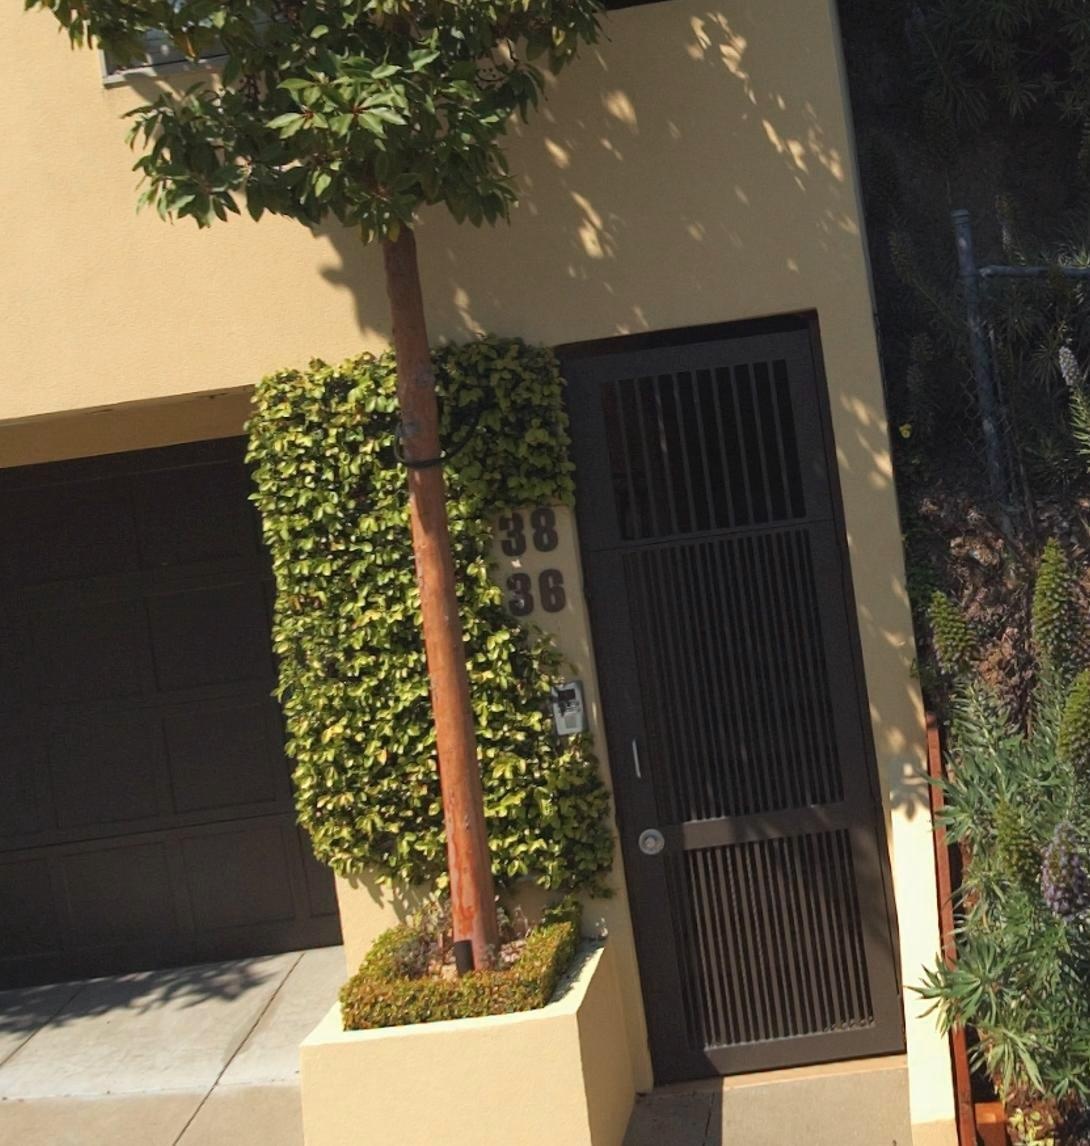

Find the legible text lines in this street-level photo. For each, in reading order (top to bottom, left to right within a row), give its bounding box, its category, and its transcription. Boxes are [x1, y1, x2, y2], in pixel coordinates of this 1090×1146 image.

[494, 504, 561, 560] StreetNumber: 38
[503, 566, 569, 619] StreetNumber: 36